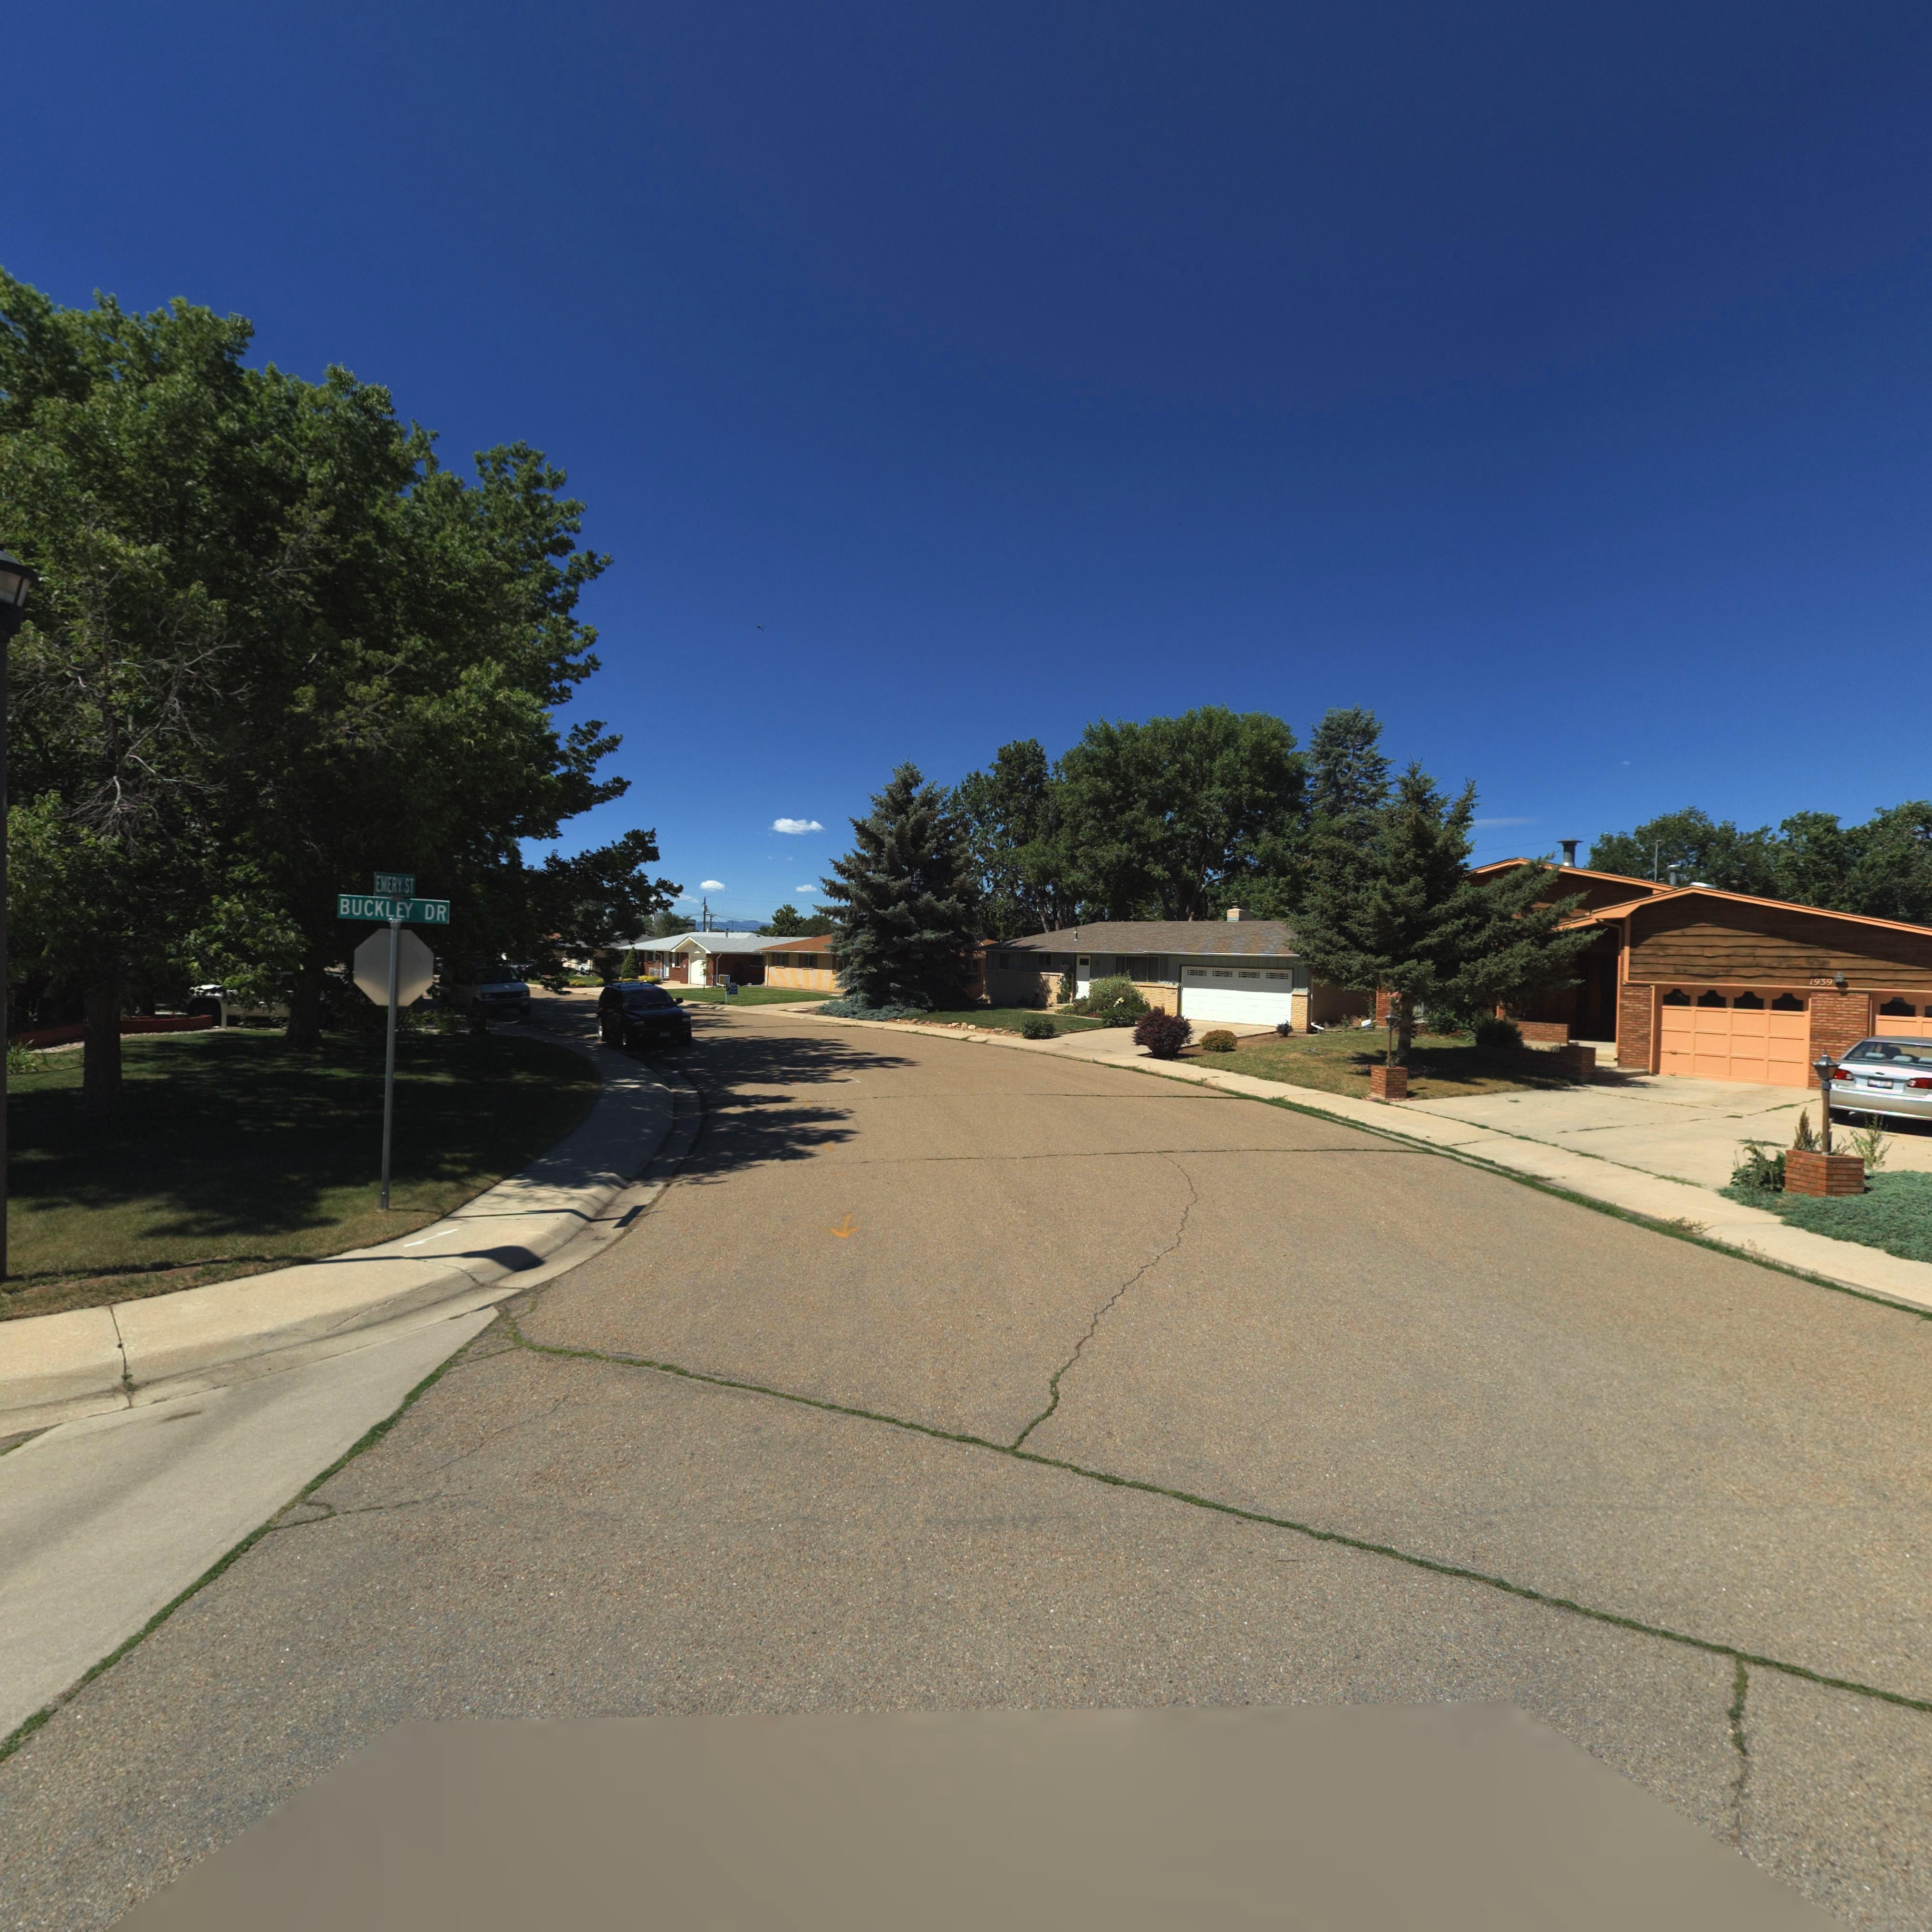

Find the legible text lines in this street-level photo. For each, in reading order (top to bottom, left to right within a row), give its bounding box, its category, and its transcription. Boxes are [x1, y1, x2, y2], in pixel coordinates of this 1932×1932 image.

[374, 875, 415, 894] StreetName: EMERY ST
[339, 897, 447, 922] StreetName: BUCKLEY DR
[1809, 978, 1833, 986] StreetNumber: 1939